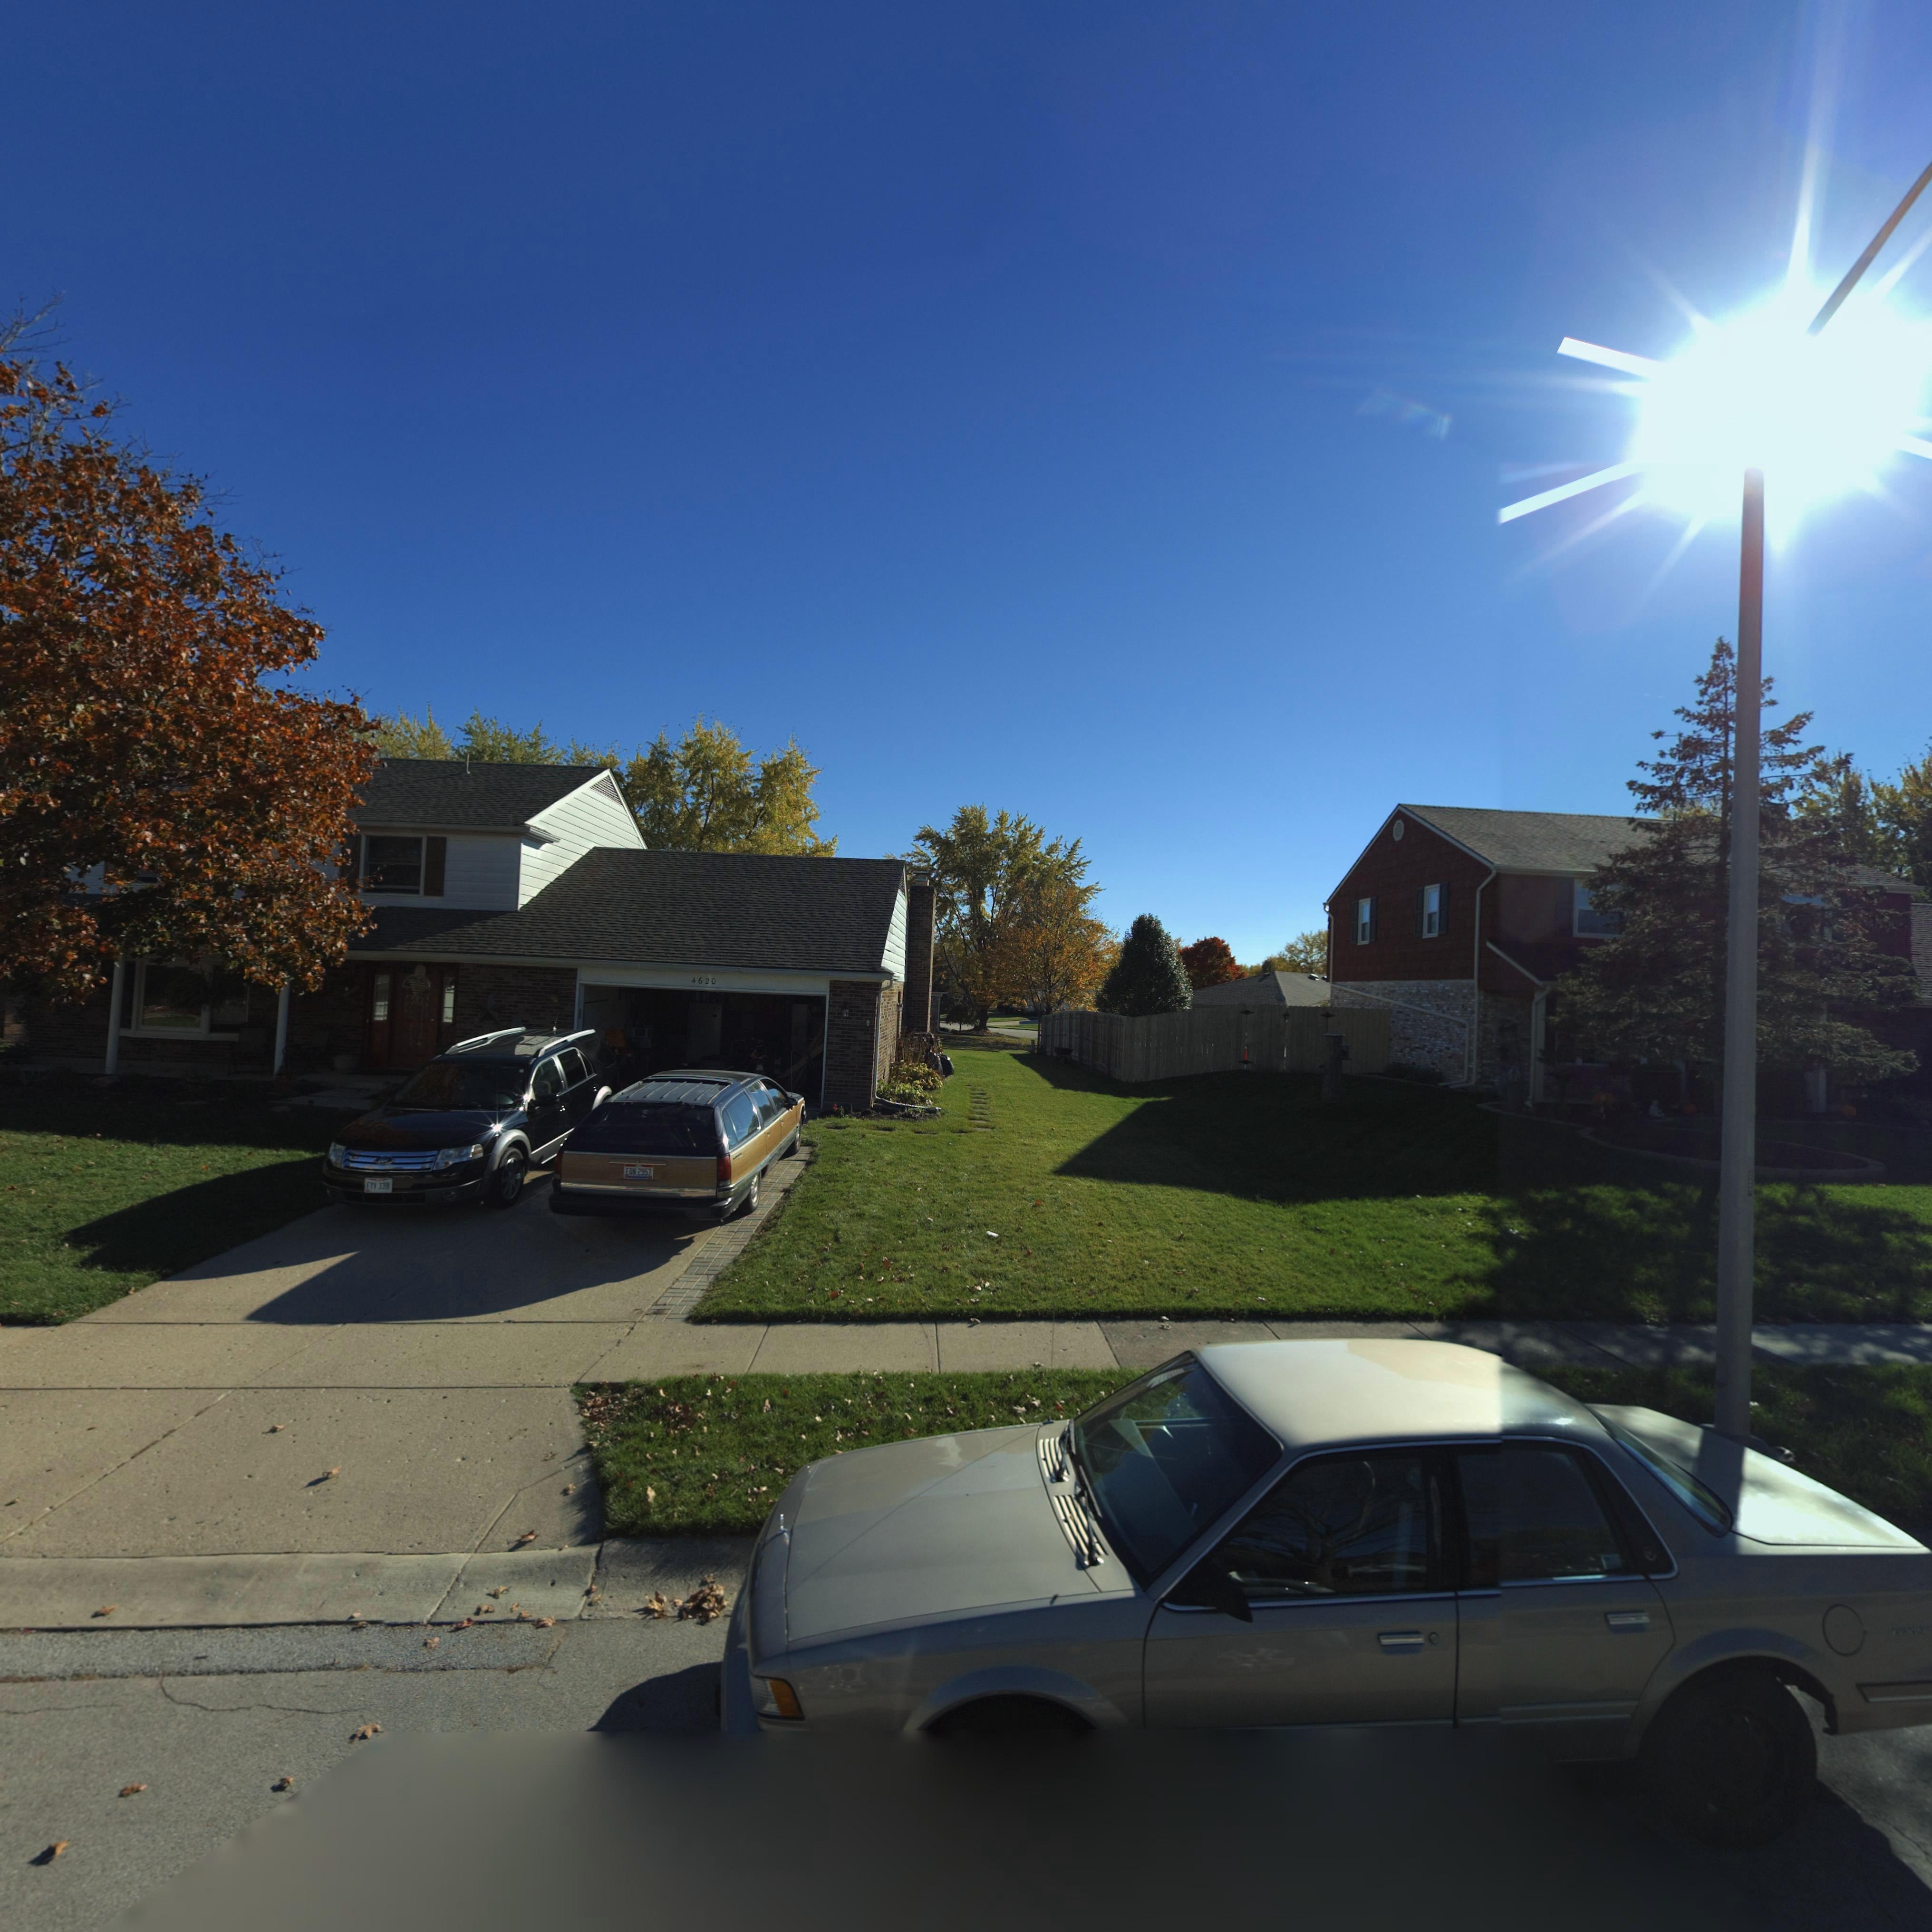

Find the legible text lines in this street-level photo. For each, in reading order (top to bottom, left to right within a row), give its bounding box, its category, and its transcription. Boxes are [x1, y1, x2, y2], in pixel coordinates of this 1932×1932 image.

[690, 976, 716, 985] StreetNumber: 4620